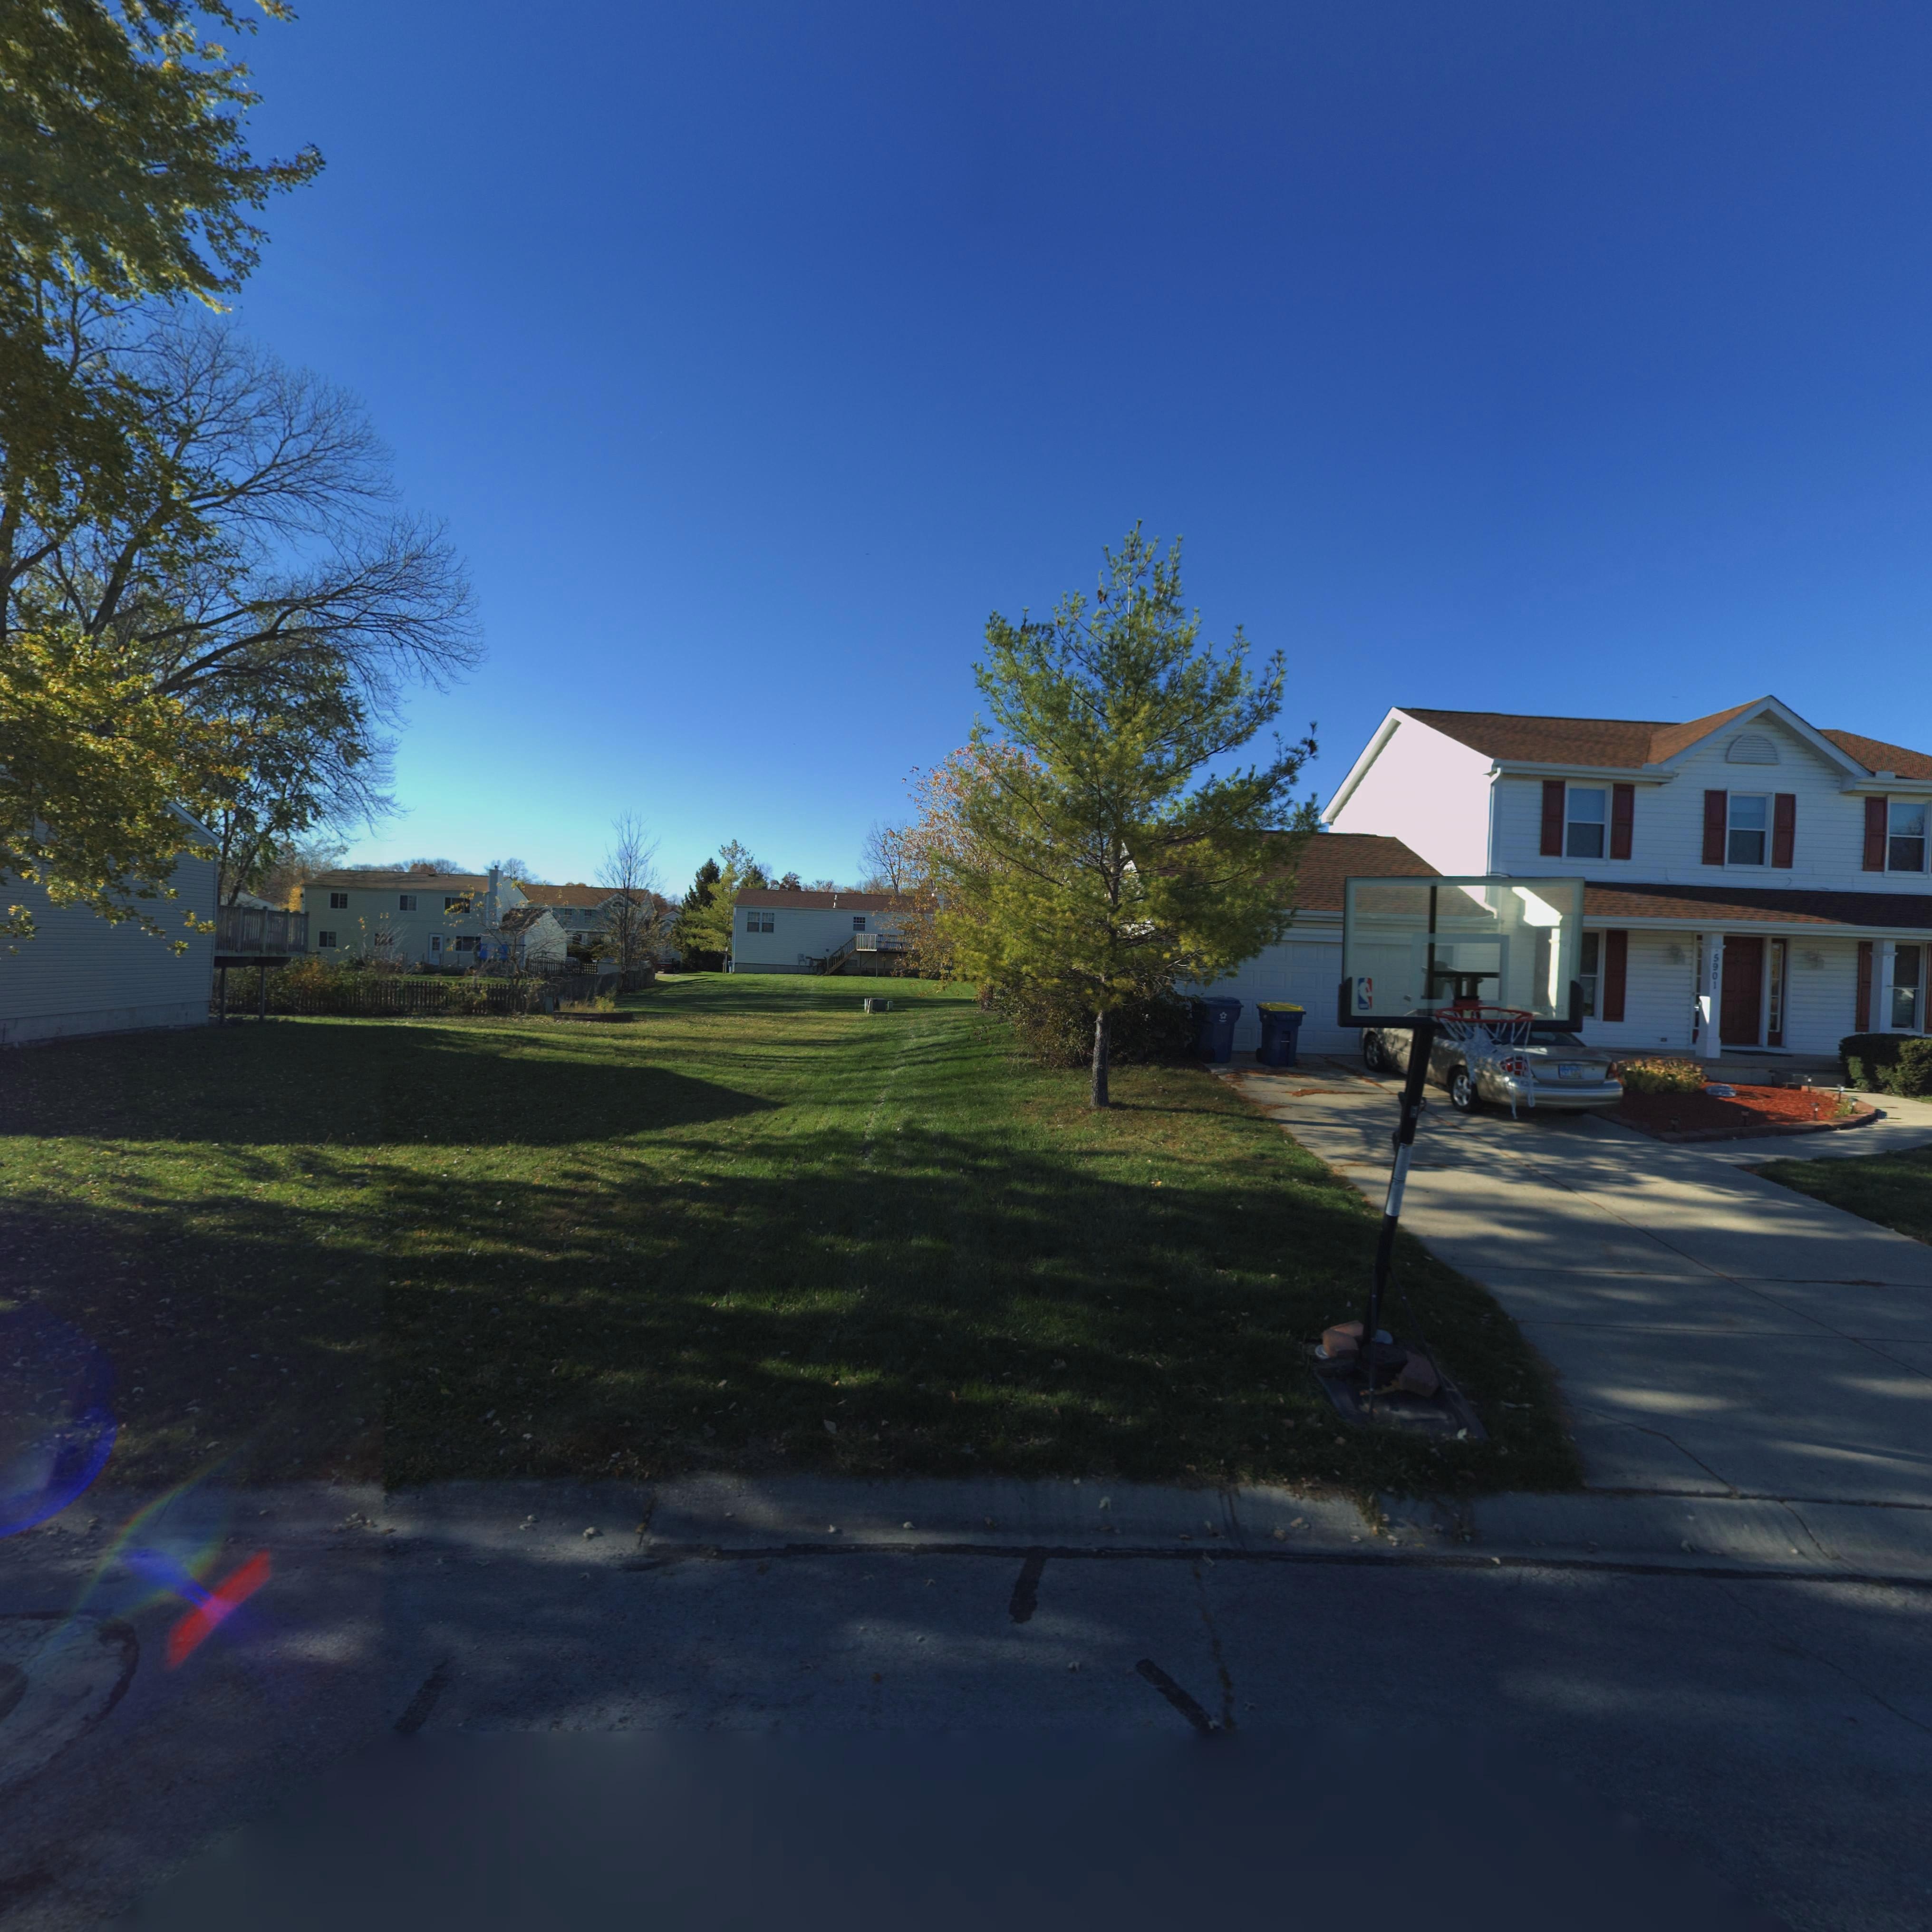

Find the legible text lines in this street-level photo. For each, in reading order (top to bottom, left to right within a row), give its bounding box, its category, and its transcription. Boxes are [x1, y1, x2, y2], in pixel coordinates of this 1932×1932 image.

[1712, 953, 1720, 990] StreetNumber: 5901